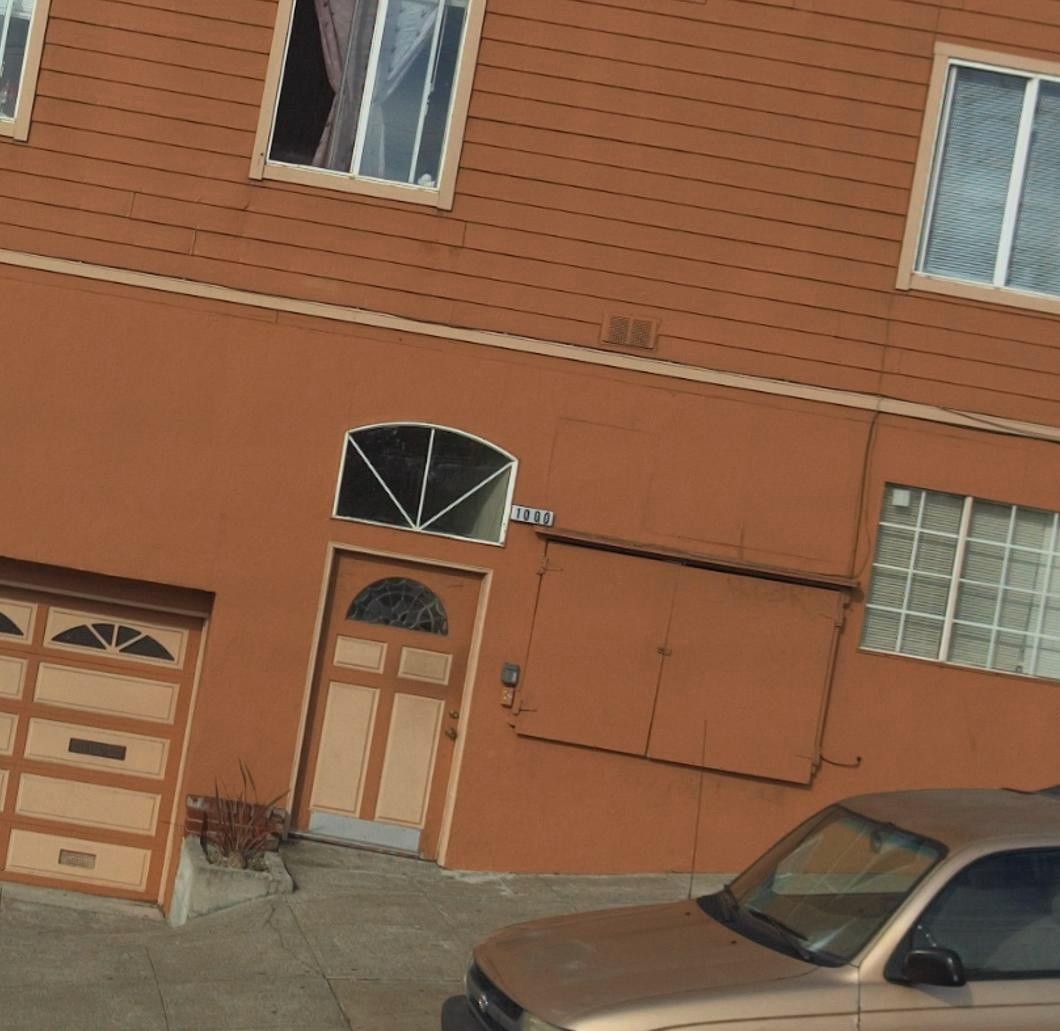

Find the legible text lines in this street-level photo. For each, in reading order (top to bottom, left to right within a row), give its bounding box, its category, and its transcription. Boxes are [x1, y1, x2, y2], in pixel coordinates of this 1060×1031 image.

[513, 506, 553, 527] StreetNumber: 1000